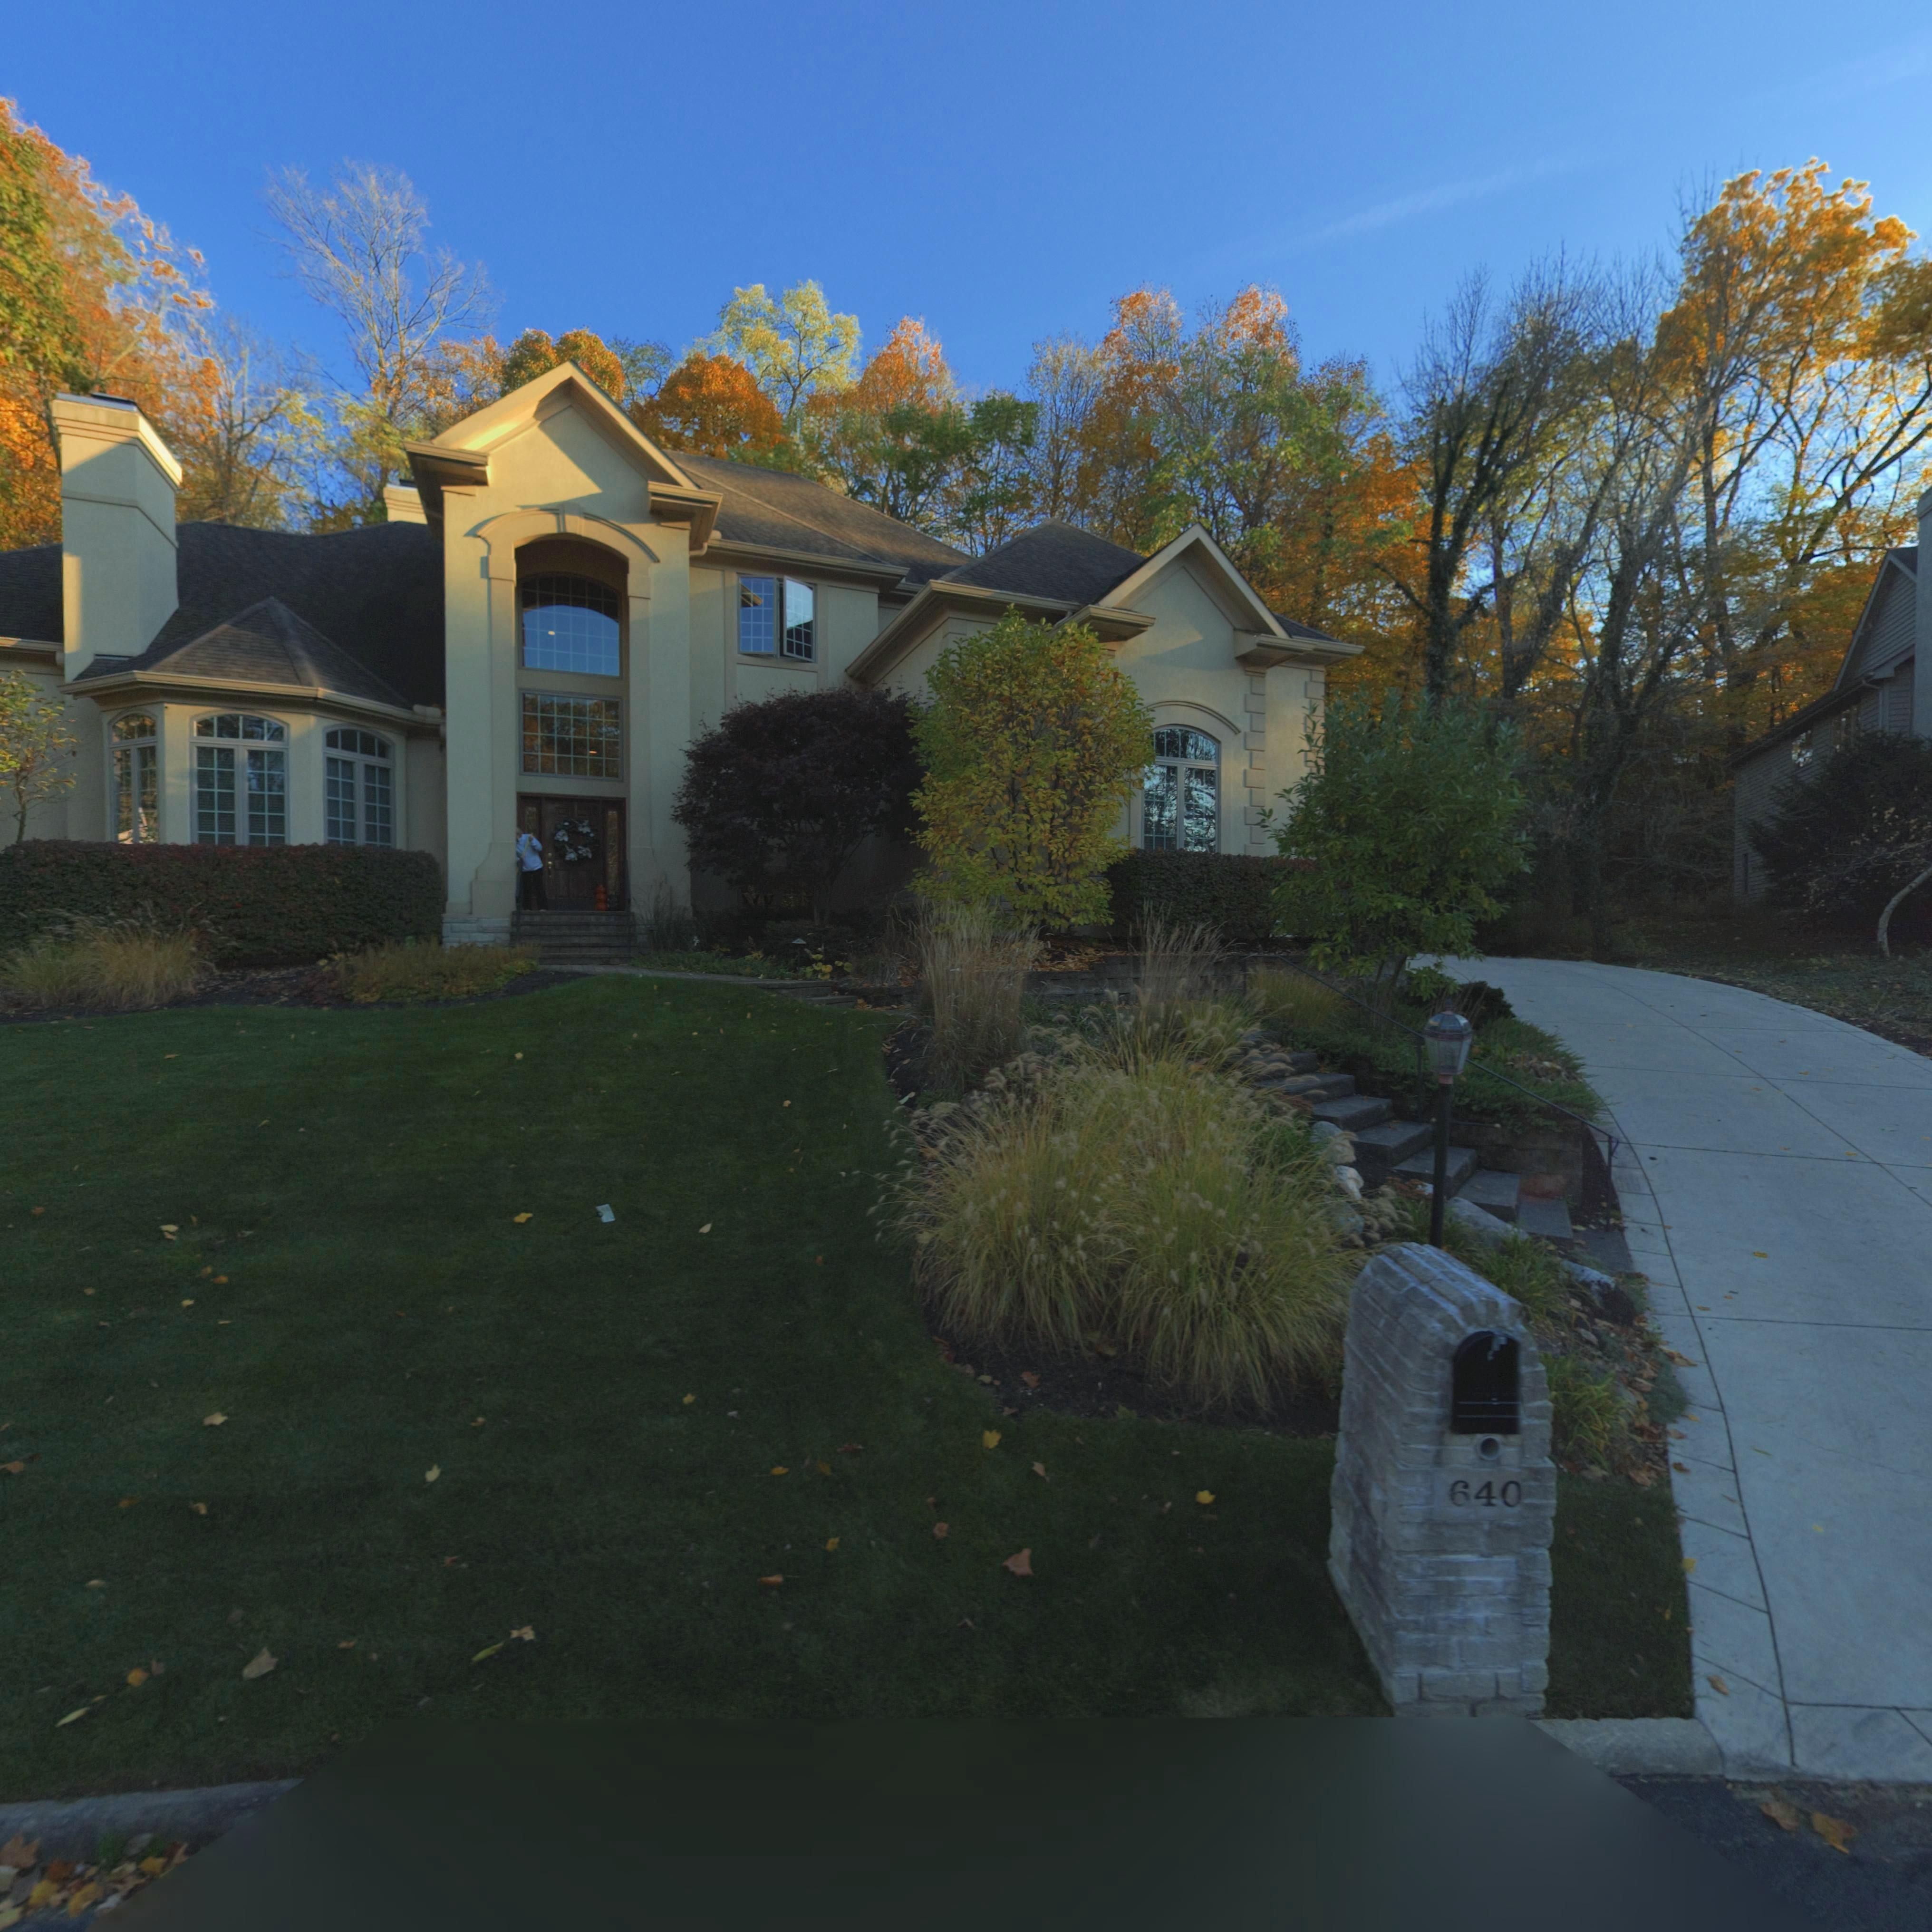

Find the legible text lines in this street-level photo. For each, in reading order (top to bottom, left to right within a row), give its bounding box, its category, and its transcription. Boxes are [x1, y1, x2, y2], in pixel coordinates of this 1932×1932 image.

[1446, 1476, 1524, 1510] StreetNumber: 640